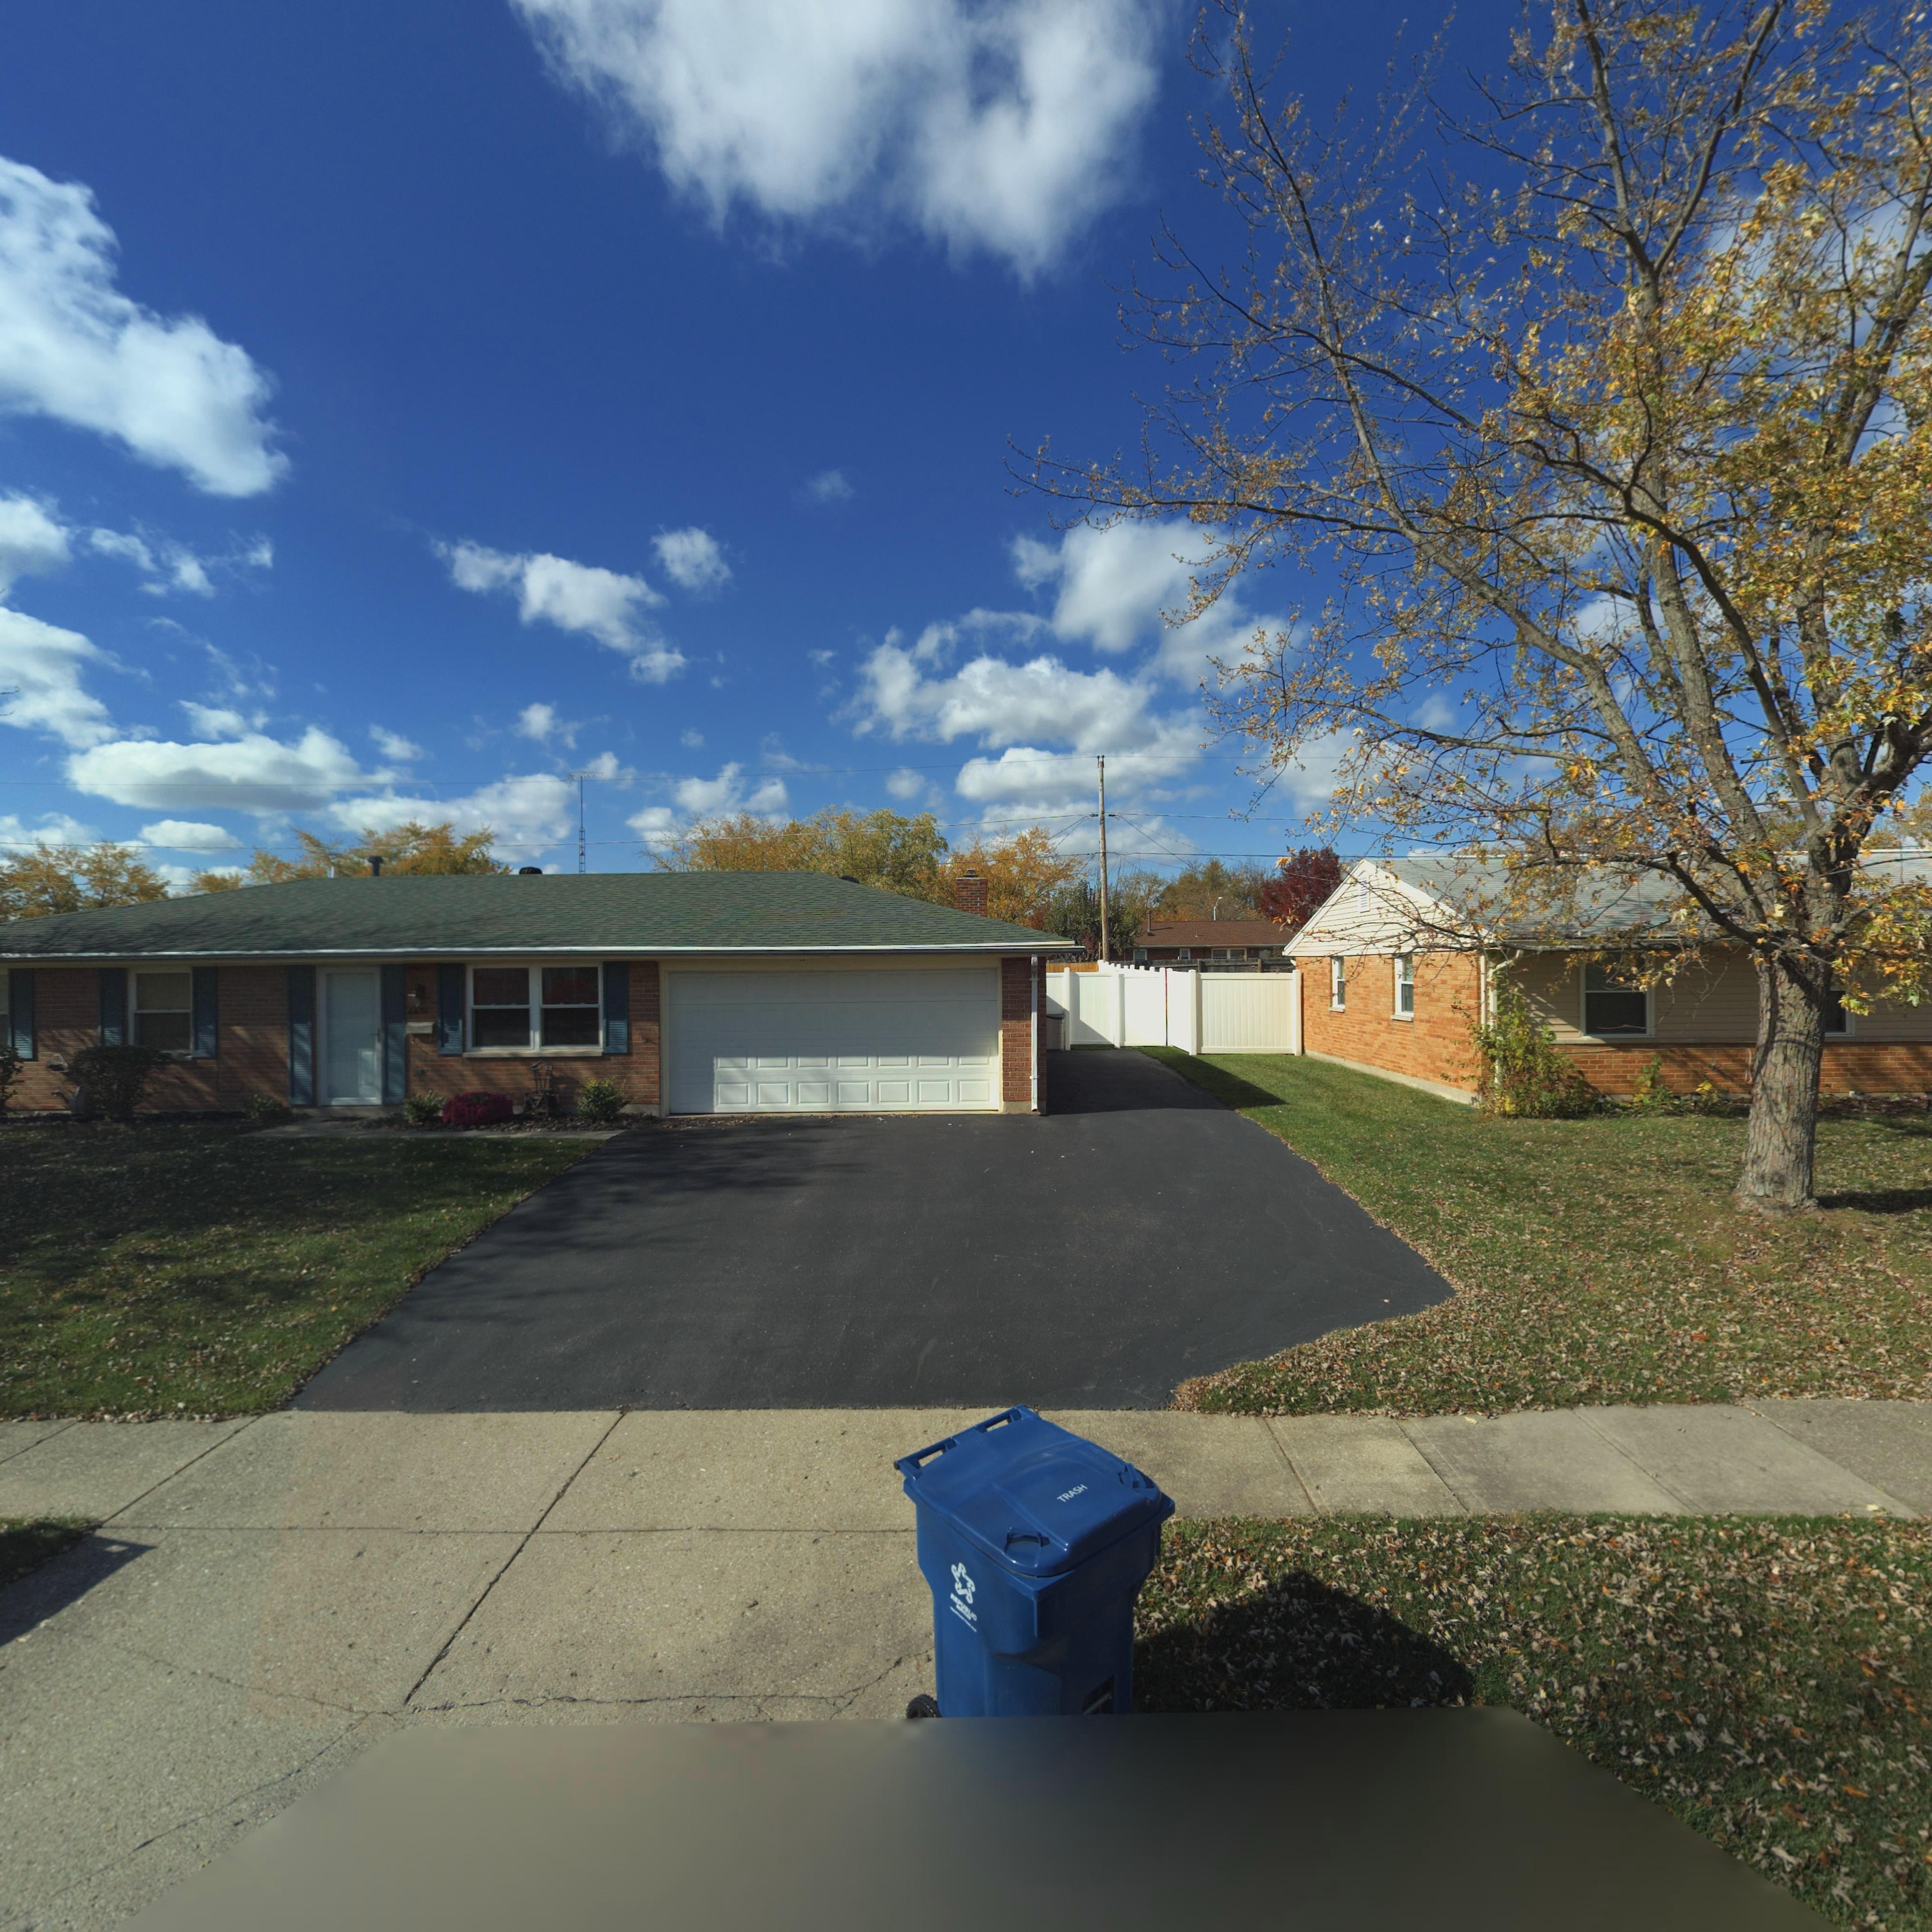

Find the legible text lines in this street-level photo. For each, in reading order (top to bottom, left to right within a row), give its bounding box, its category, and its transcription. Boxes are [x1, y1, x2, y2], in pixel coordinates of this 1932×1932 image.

[407, 1006, 430, 1015] StreetNumber: 66**